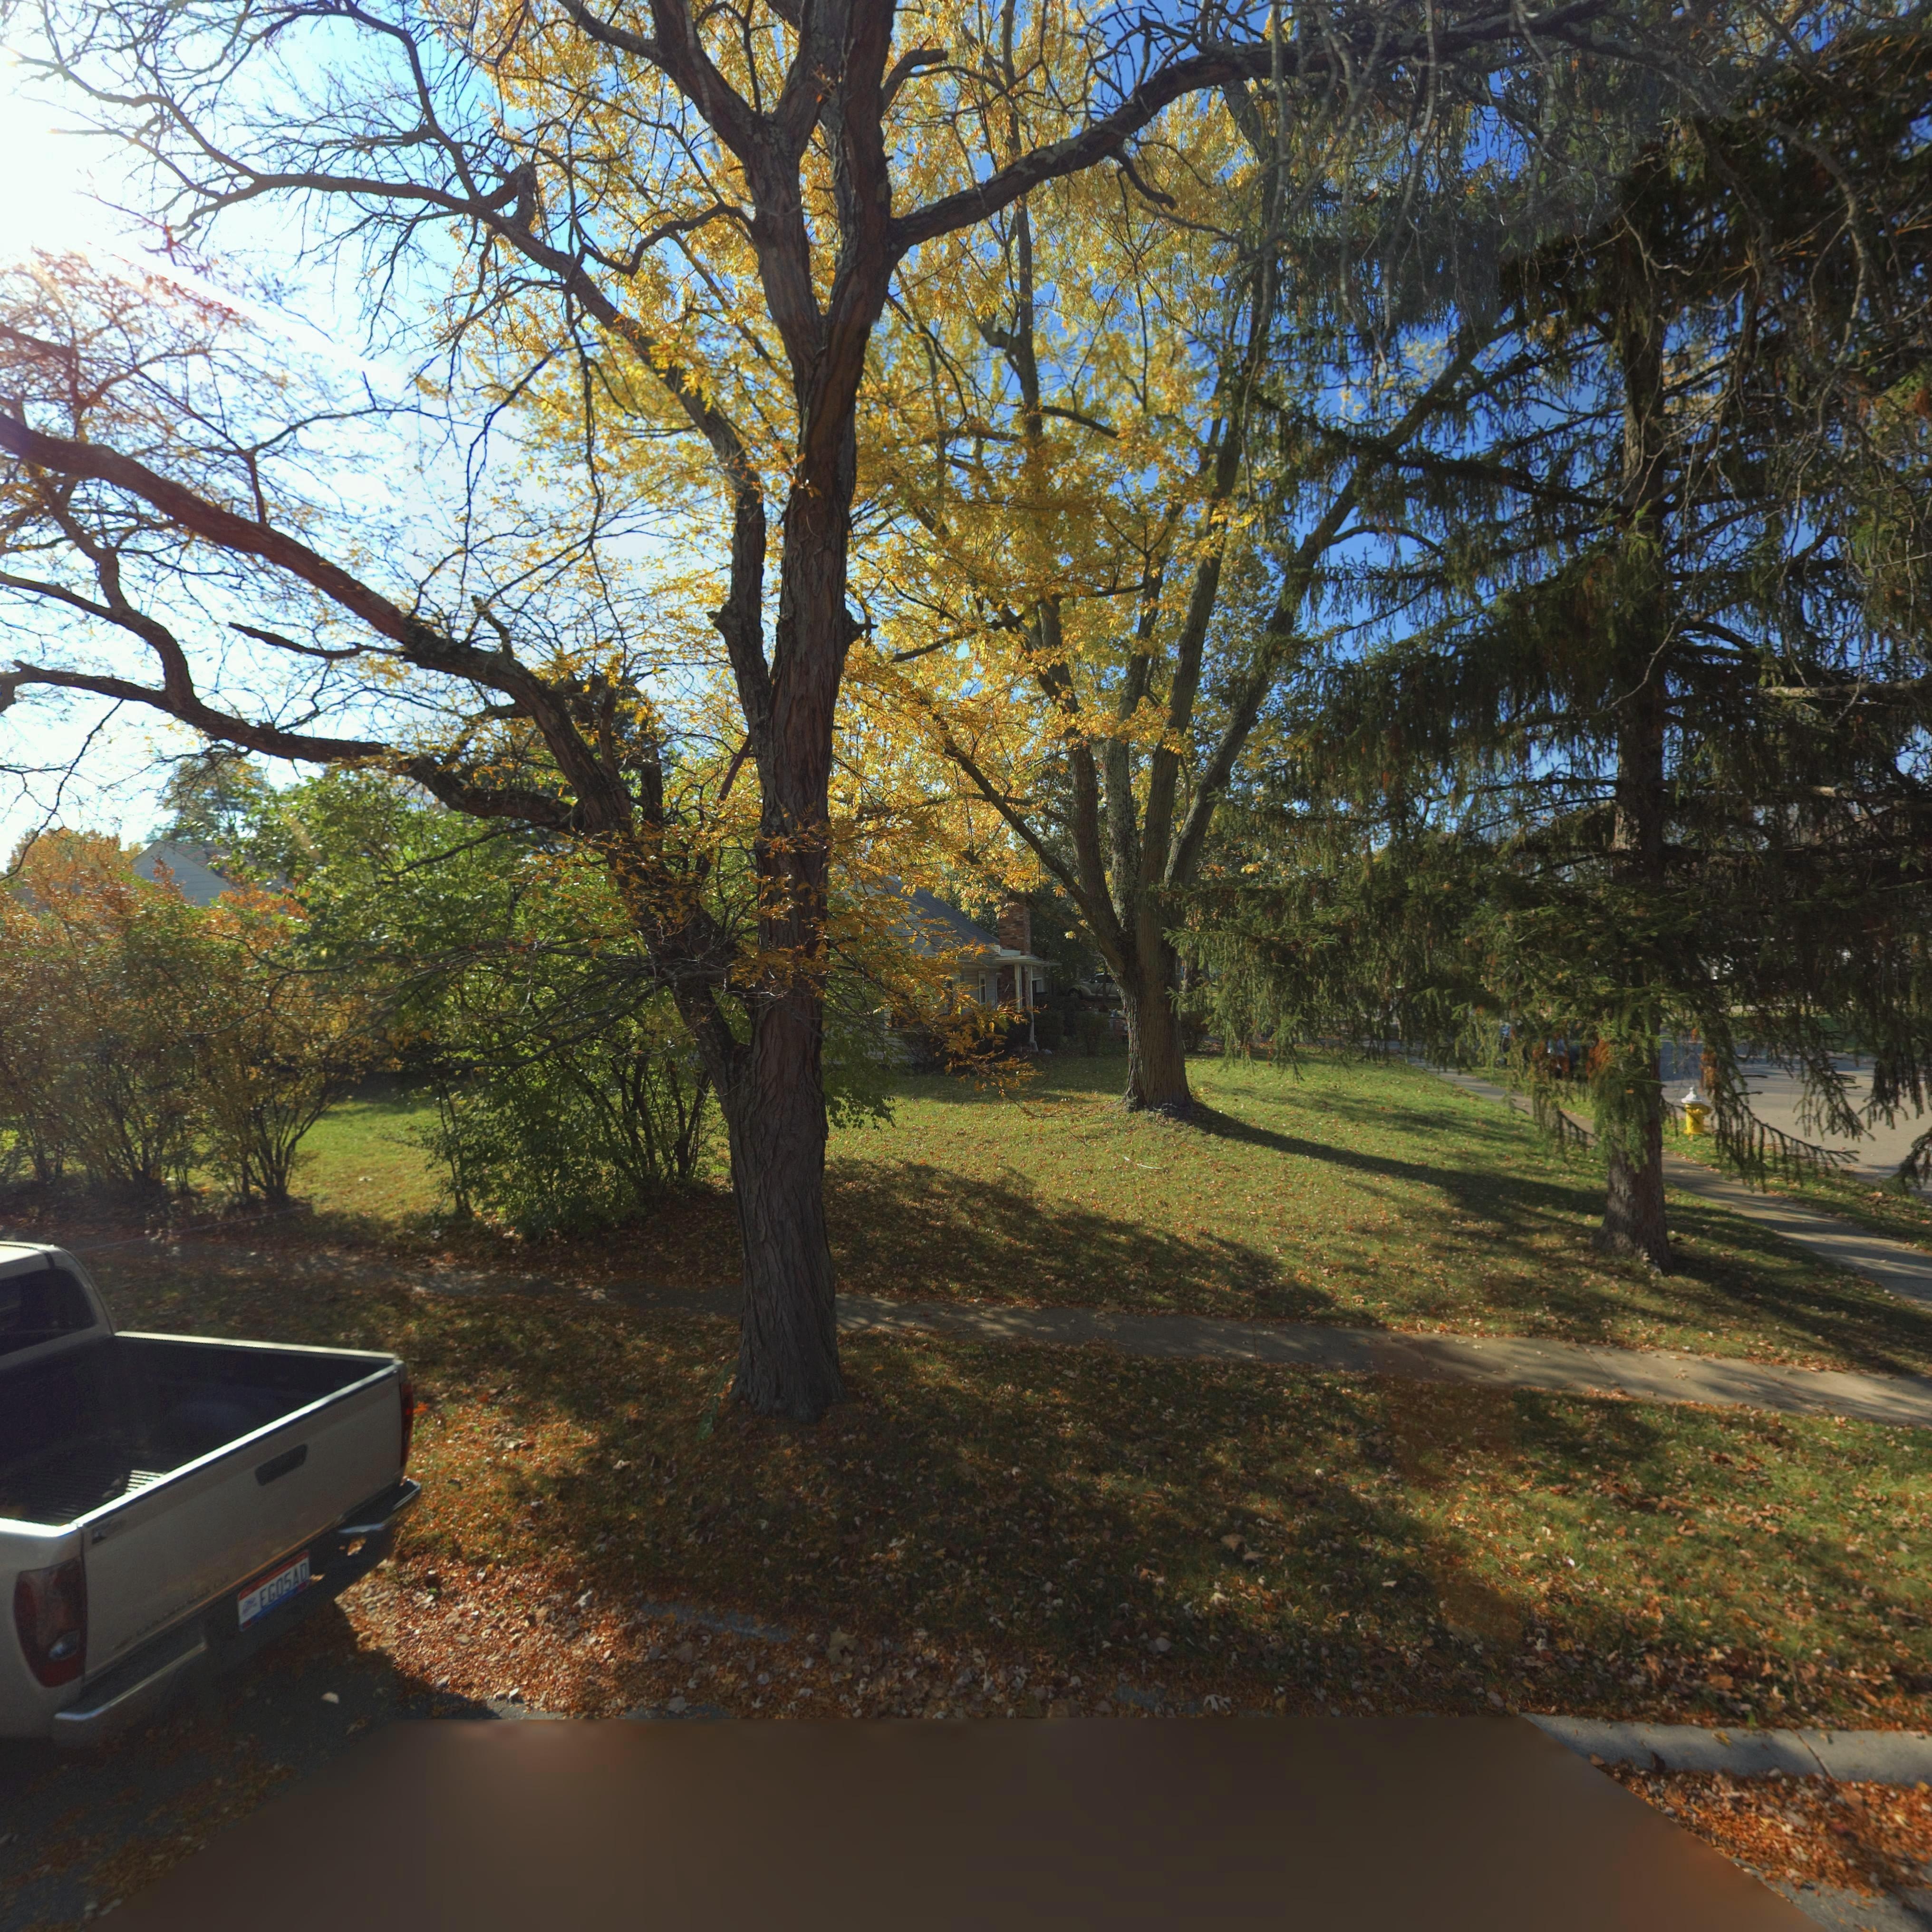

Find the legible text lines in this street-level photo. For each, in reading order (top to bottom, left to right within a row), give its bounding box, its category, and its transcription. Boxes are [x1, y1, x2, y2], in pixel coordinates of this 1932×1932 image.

[259, 1561, 308, 1611] None: EG05AD